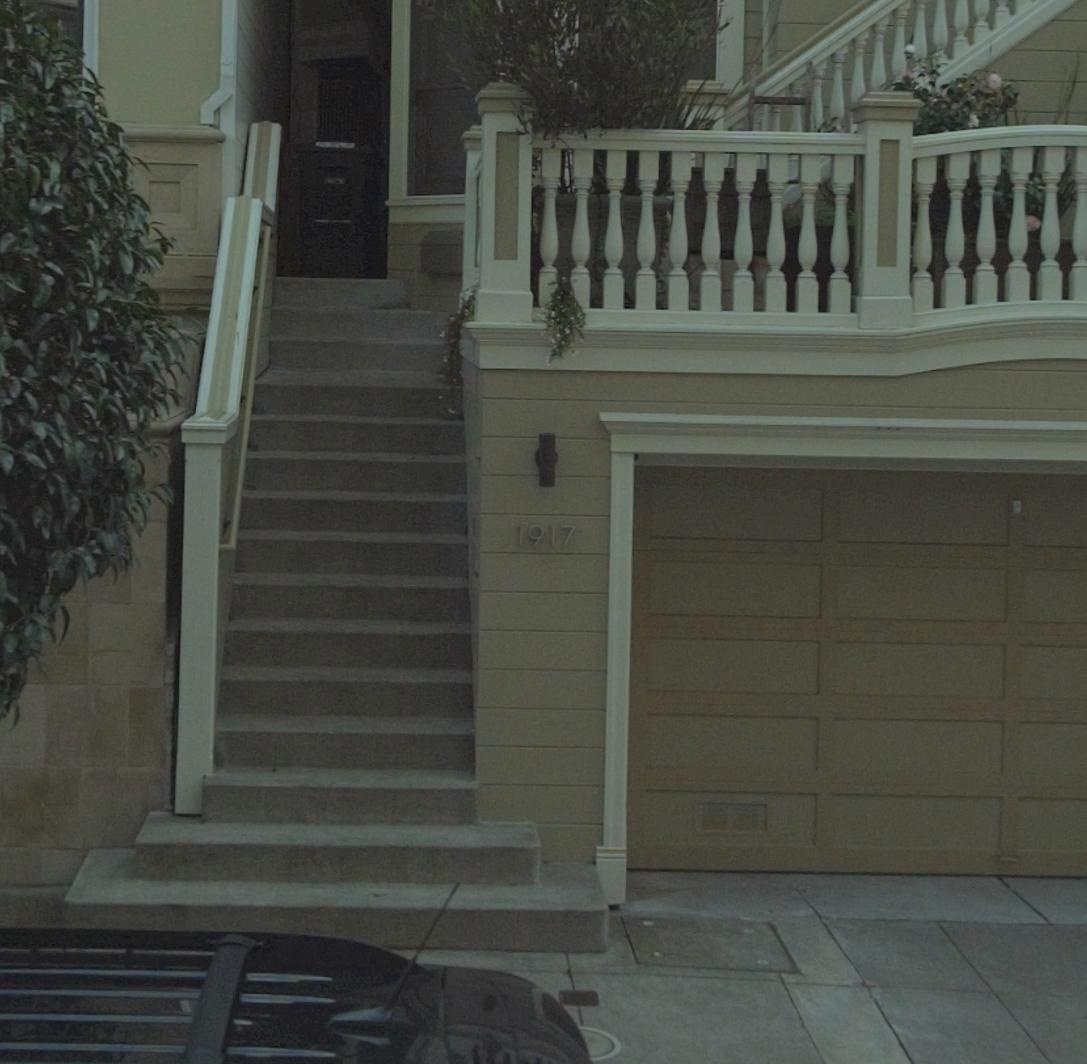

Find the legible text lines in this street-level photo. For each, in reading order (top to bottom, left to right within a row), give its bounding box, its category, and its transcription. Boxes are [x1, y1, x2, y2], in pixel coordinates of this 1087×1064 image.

[516, 523, 578, 550] StreetNumber: 1917